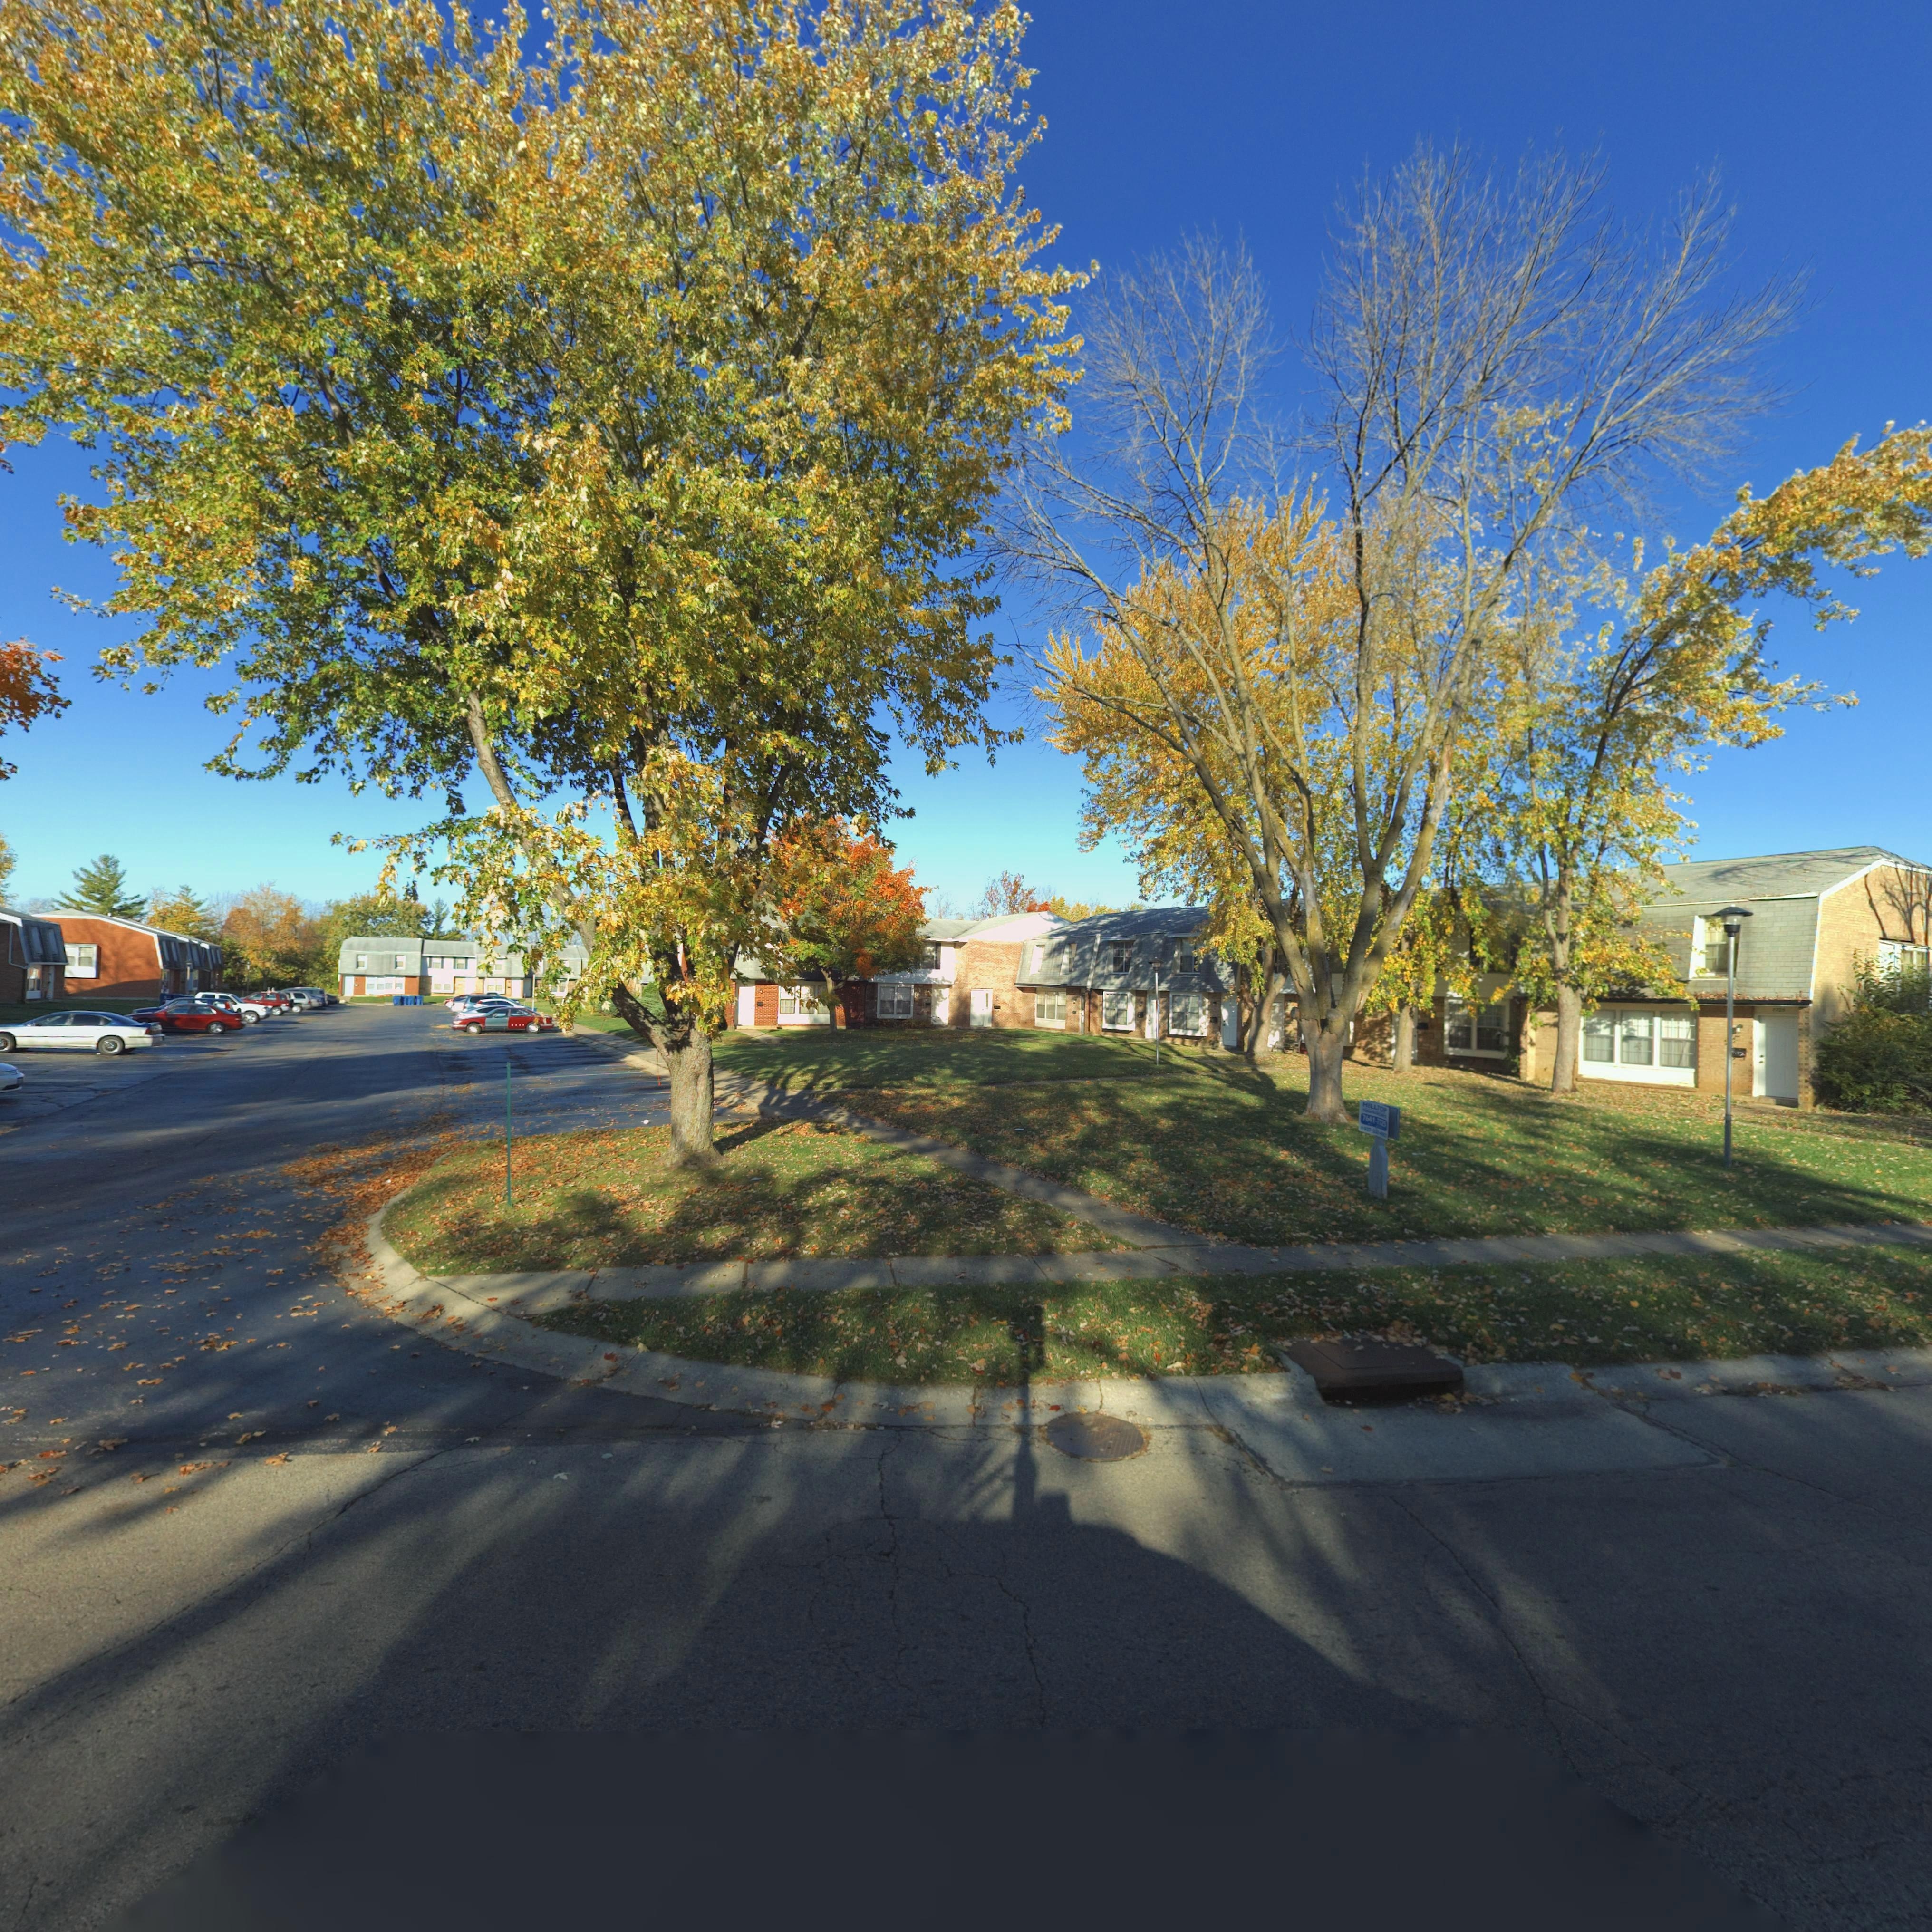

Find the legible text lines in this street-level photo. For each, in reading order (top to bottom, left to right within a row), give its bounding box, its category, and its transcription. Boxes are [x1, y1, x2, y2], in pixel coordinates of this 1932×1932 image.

[1771, 1007, 1786, 1013] StreetNumber: 7725